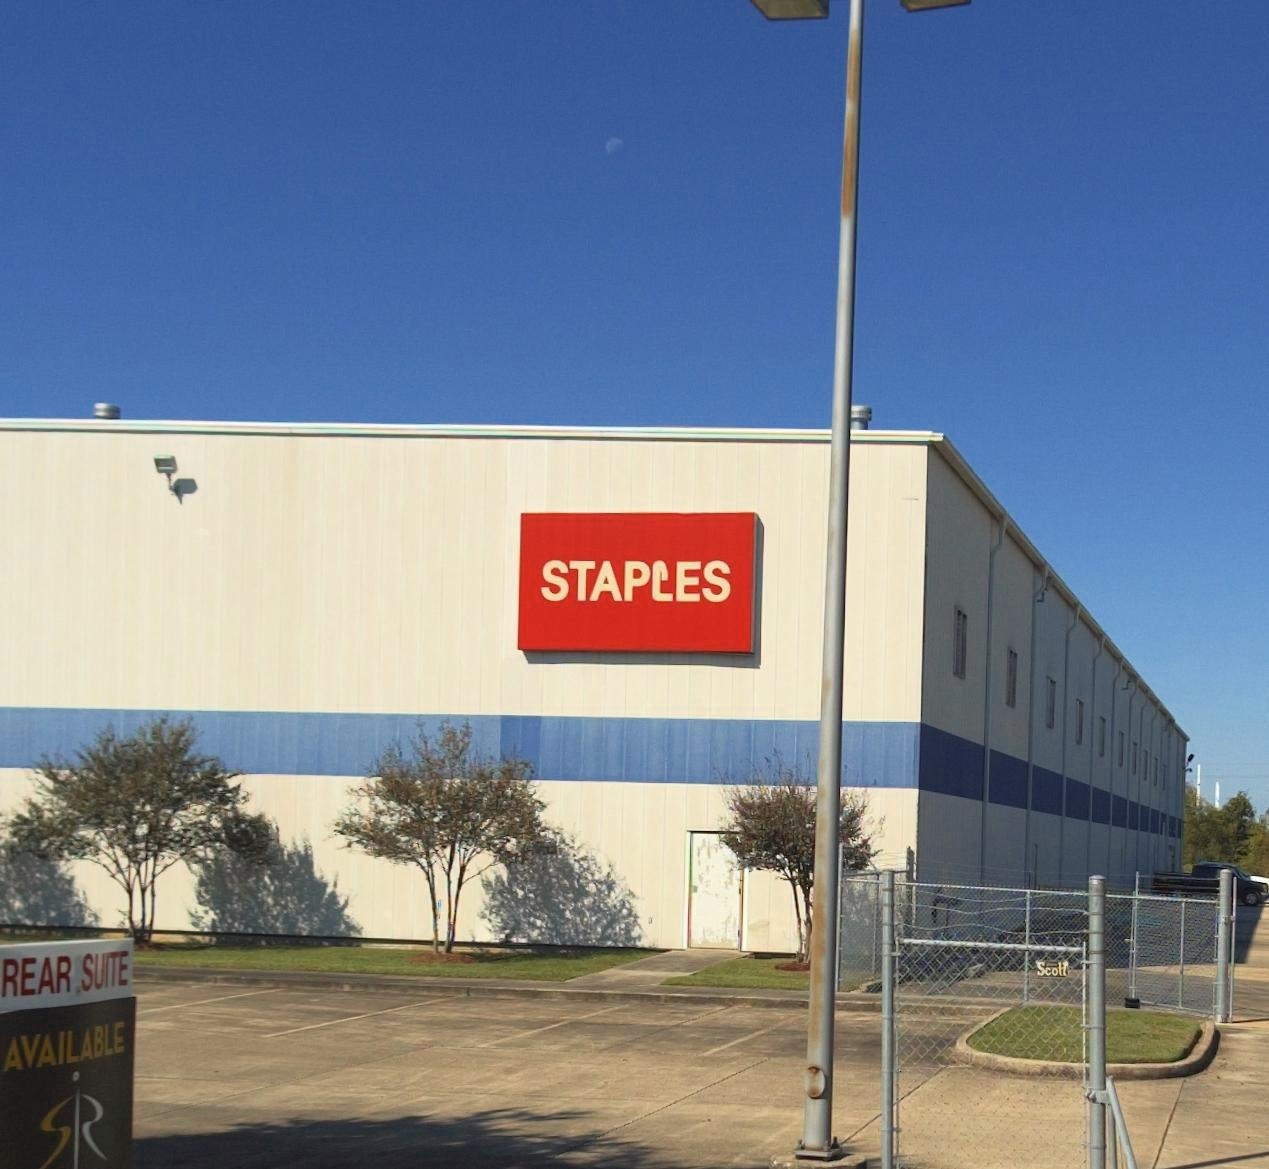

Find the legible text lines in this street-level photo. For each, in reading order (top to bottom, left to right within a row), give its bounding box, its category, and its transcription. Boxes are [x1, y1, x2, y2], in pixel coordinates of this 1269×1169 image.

[536, 556, 735, 605] BusinessName: STAPLES
[0, 947, 132, 1001] None: REAR SUITE
[1034, 958, 1072, 979] None: Scott
[0, 1017, 130, 1075] None: AVAILABLE